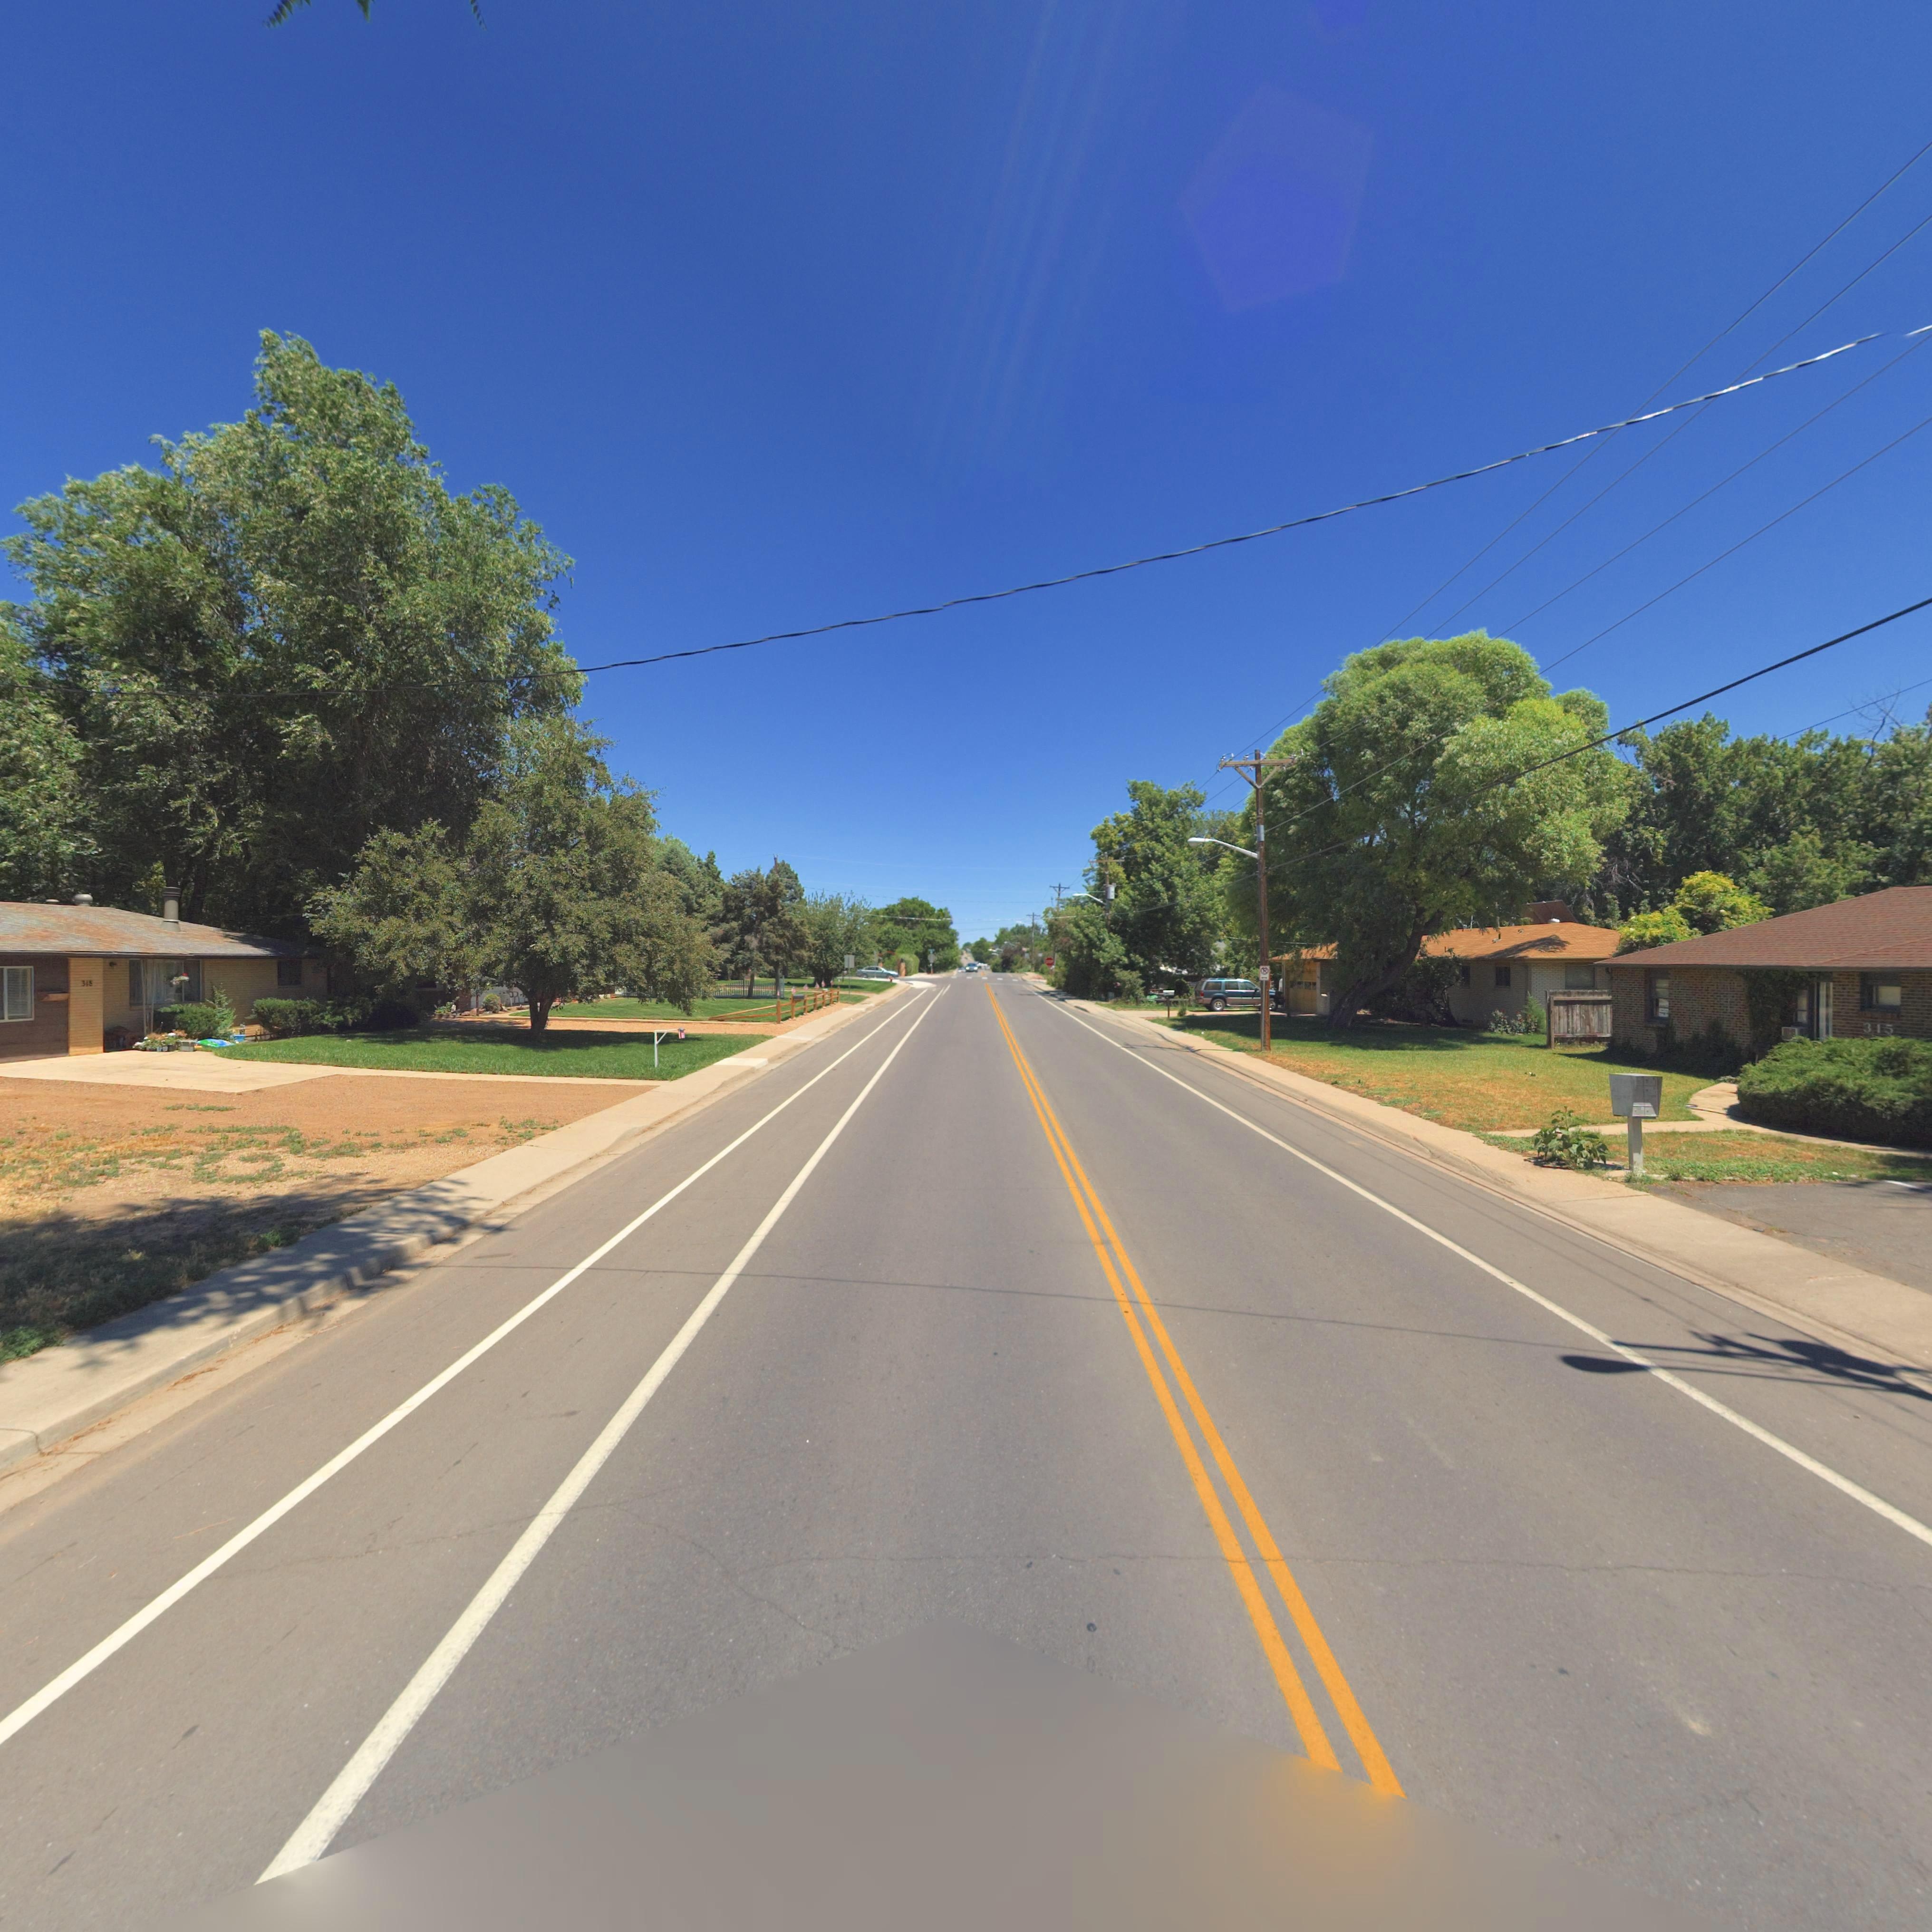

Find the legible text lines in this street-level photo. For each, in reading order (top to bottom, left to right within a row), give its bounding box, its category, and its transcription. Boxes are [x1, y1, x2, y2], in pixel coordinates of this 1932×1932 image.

[82, 980, 92, 986] StreetNumber: 31*
[1863, 1023, 1893, 1034] StreetNumber: 315